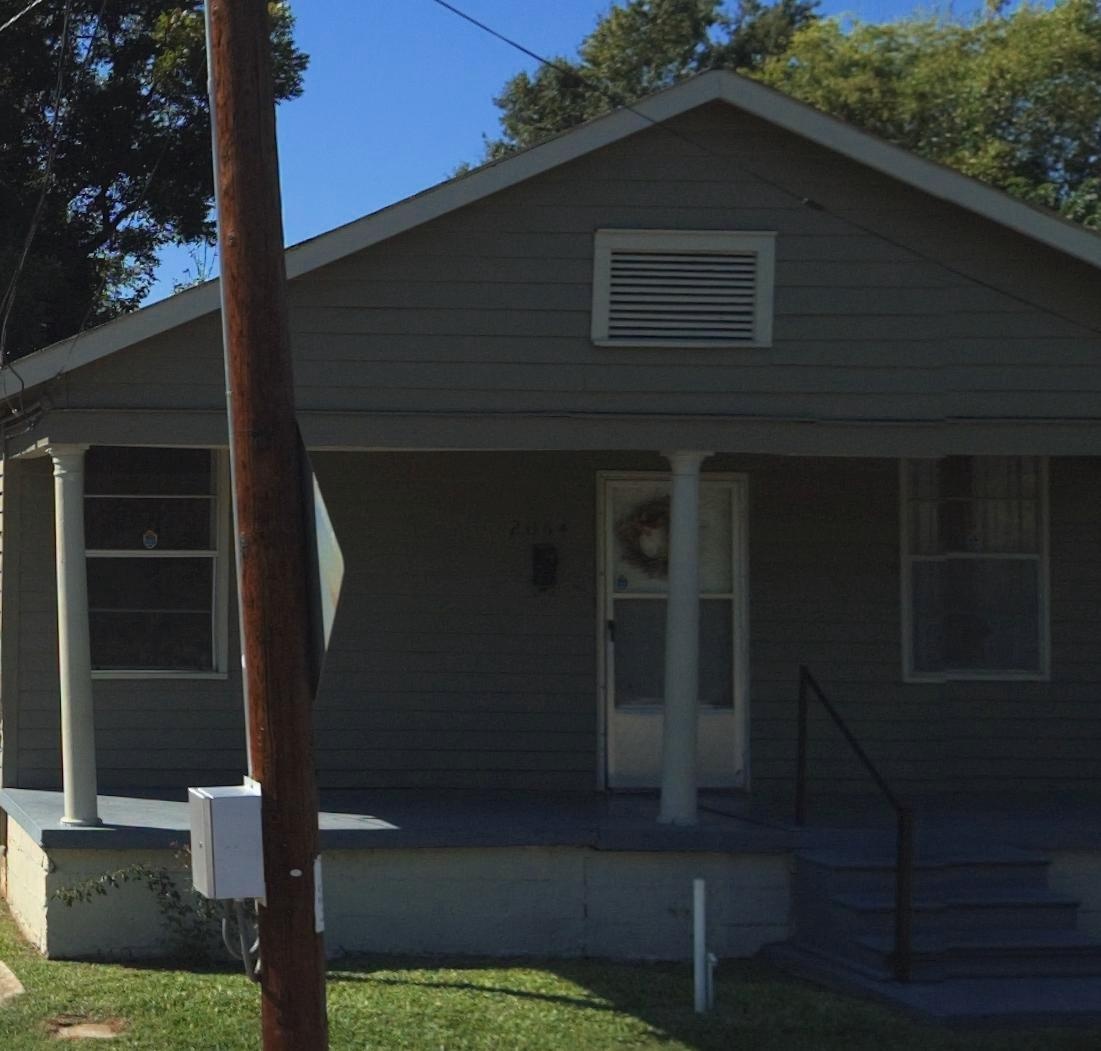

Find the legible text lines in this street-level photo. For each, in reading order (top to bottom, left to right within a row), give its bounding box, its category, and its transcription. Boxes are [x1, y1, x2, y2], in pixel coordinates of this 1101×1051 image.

[507, 517, 570, 538] StreetNumber: 2064